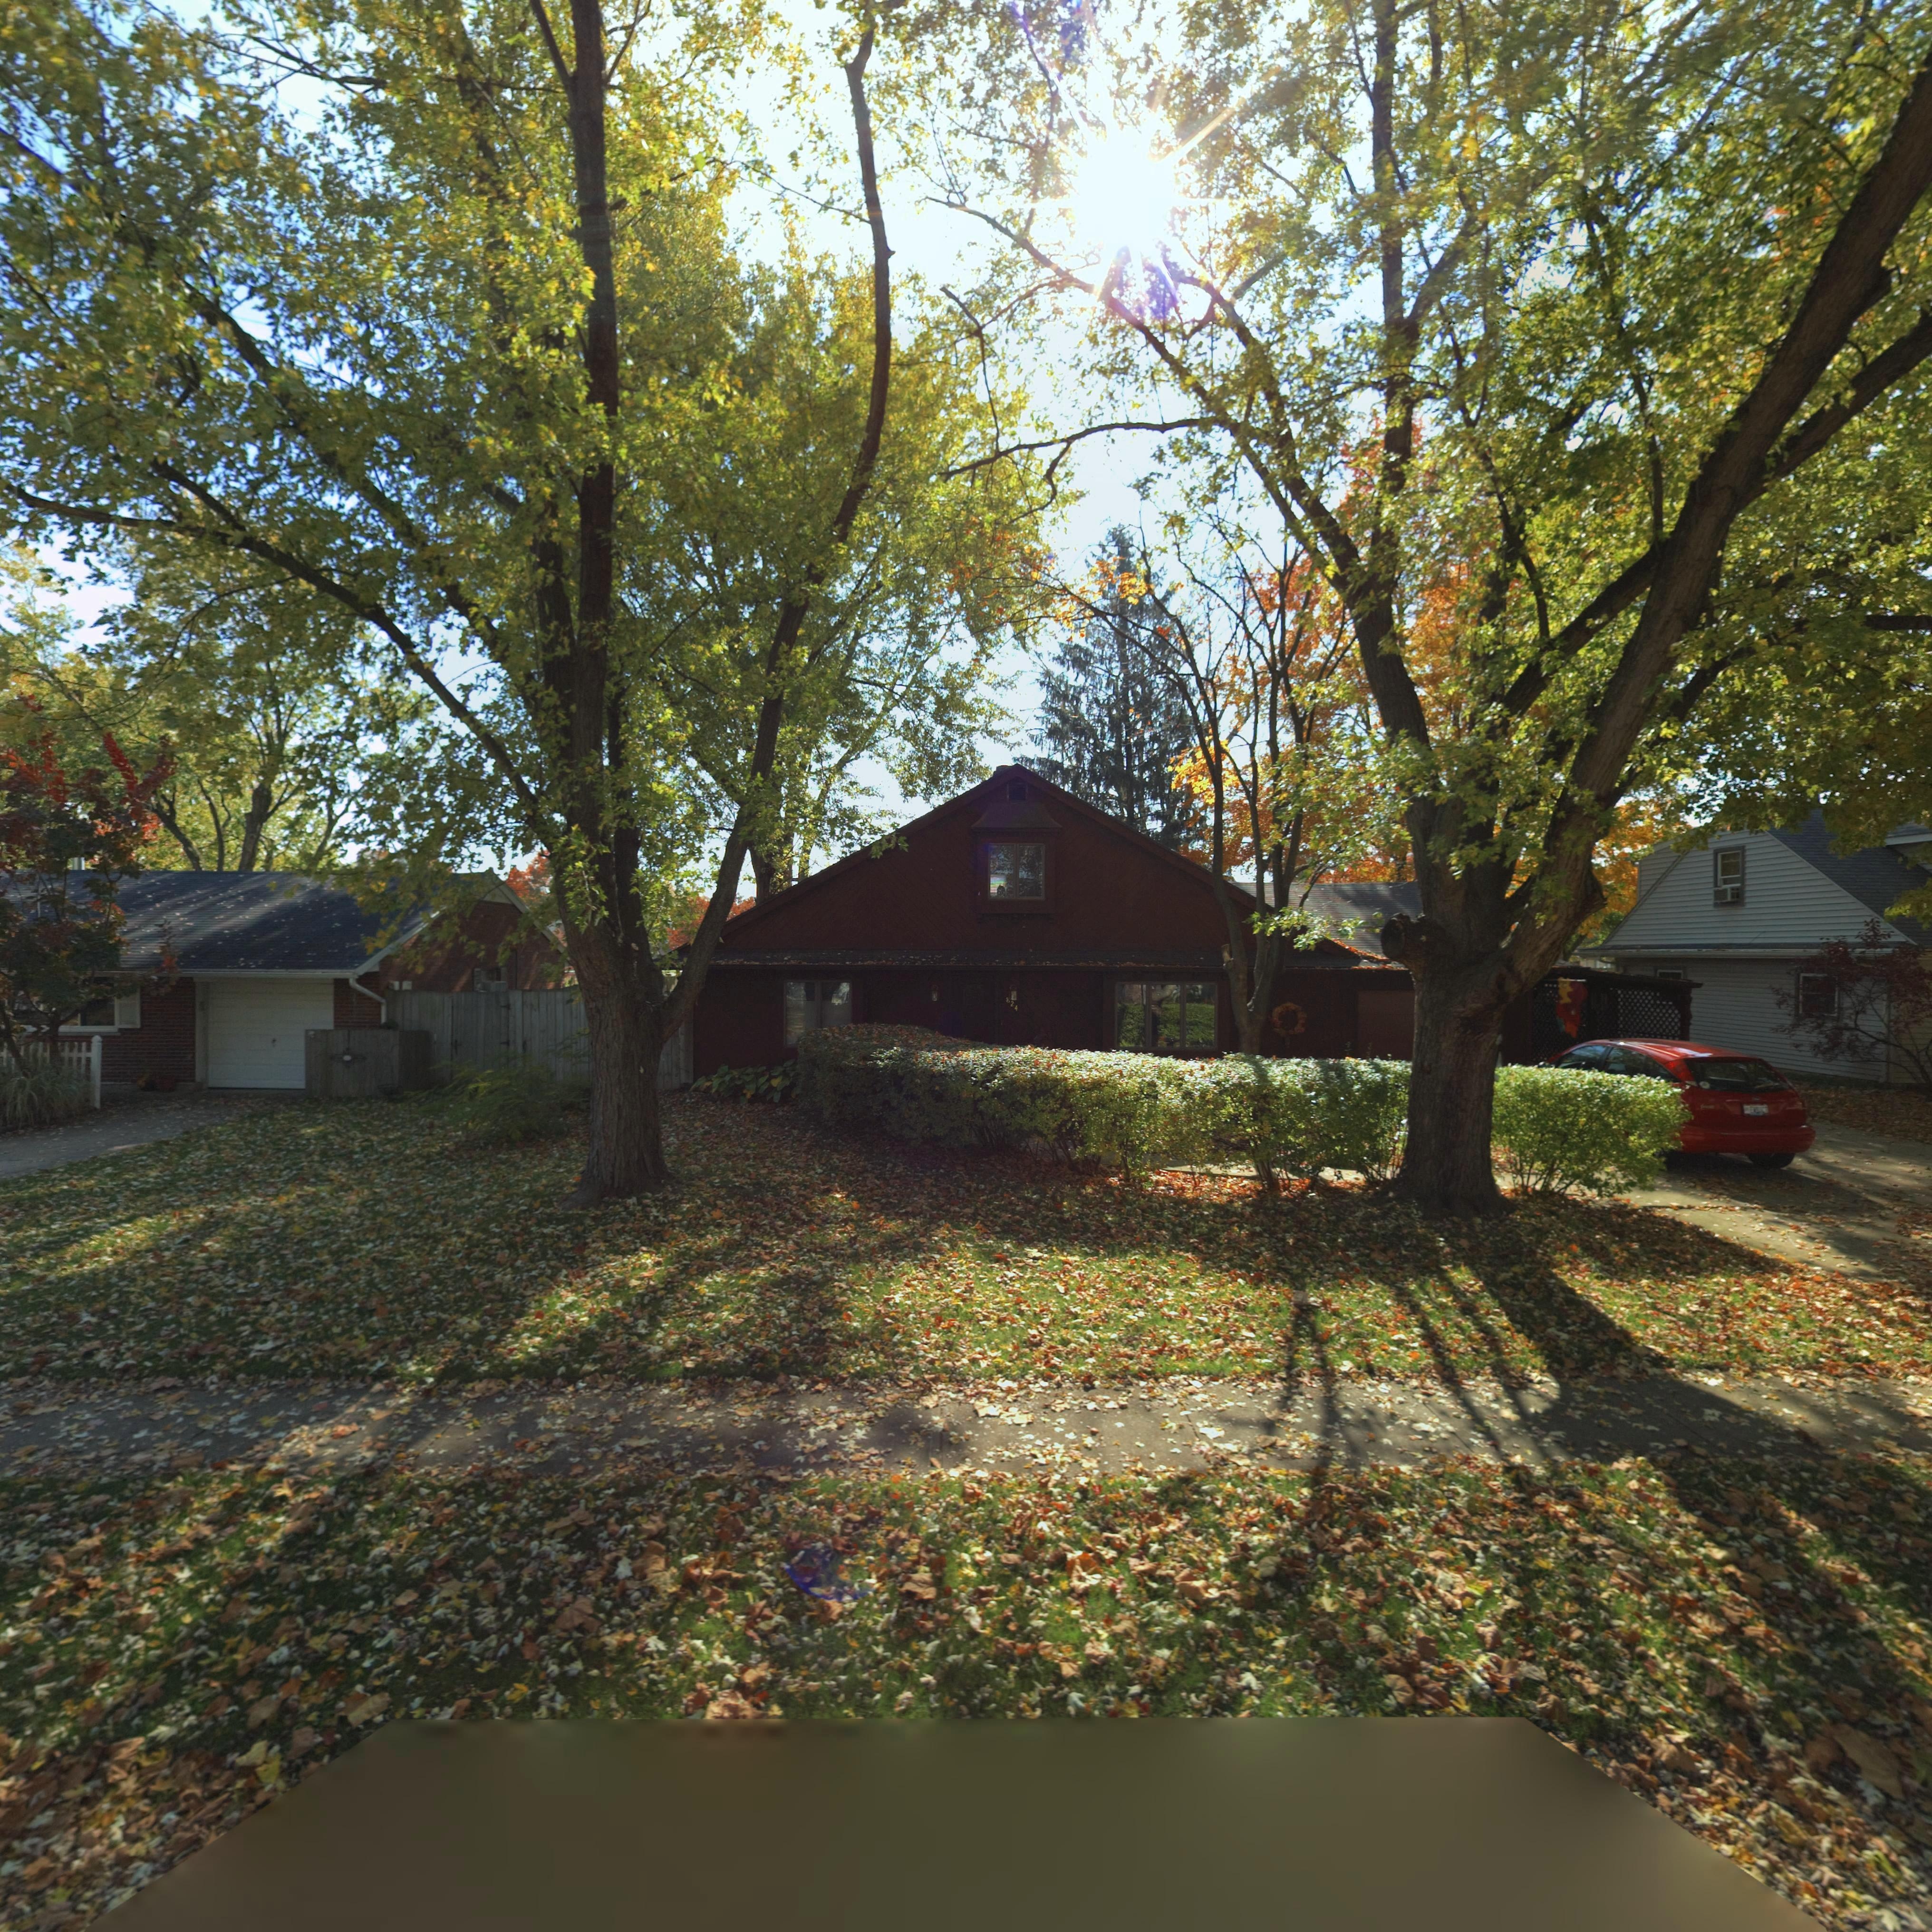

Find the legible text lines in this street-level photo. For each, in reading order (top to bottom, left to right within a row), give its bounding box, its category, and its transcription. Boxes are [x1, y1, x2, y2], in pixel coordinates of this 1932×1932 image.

[1009, 1000, 1019, 1013] StreetNumber: 24